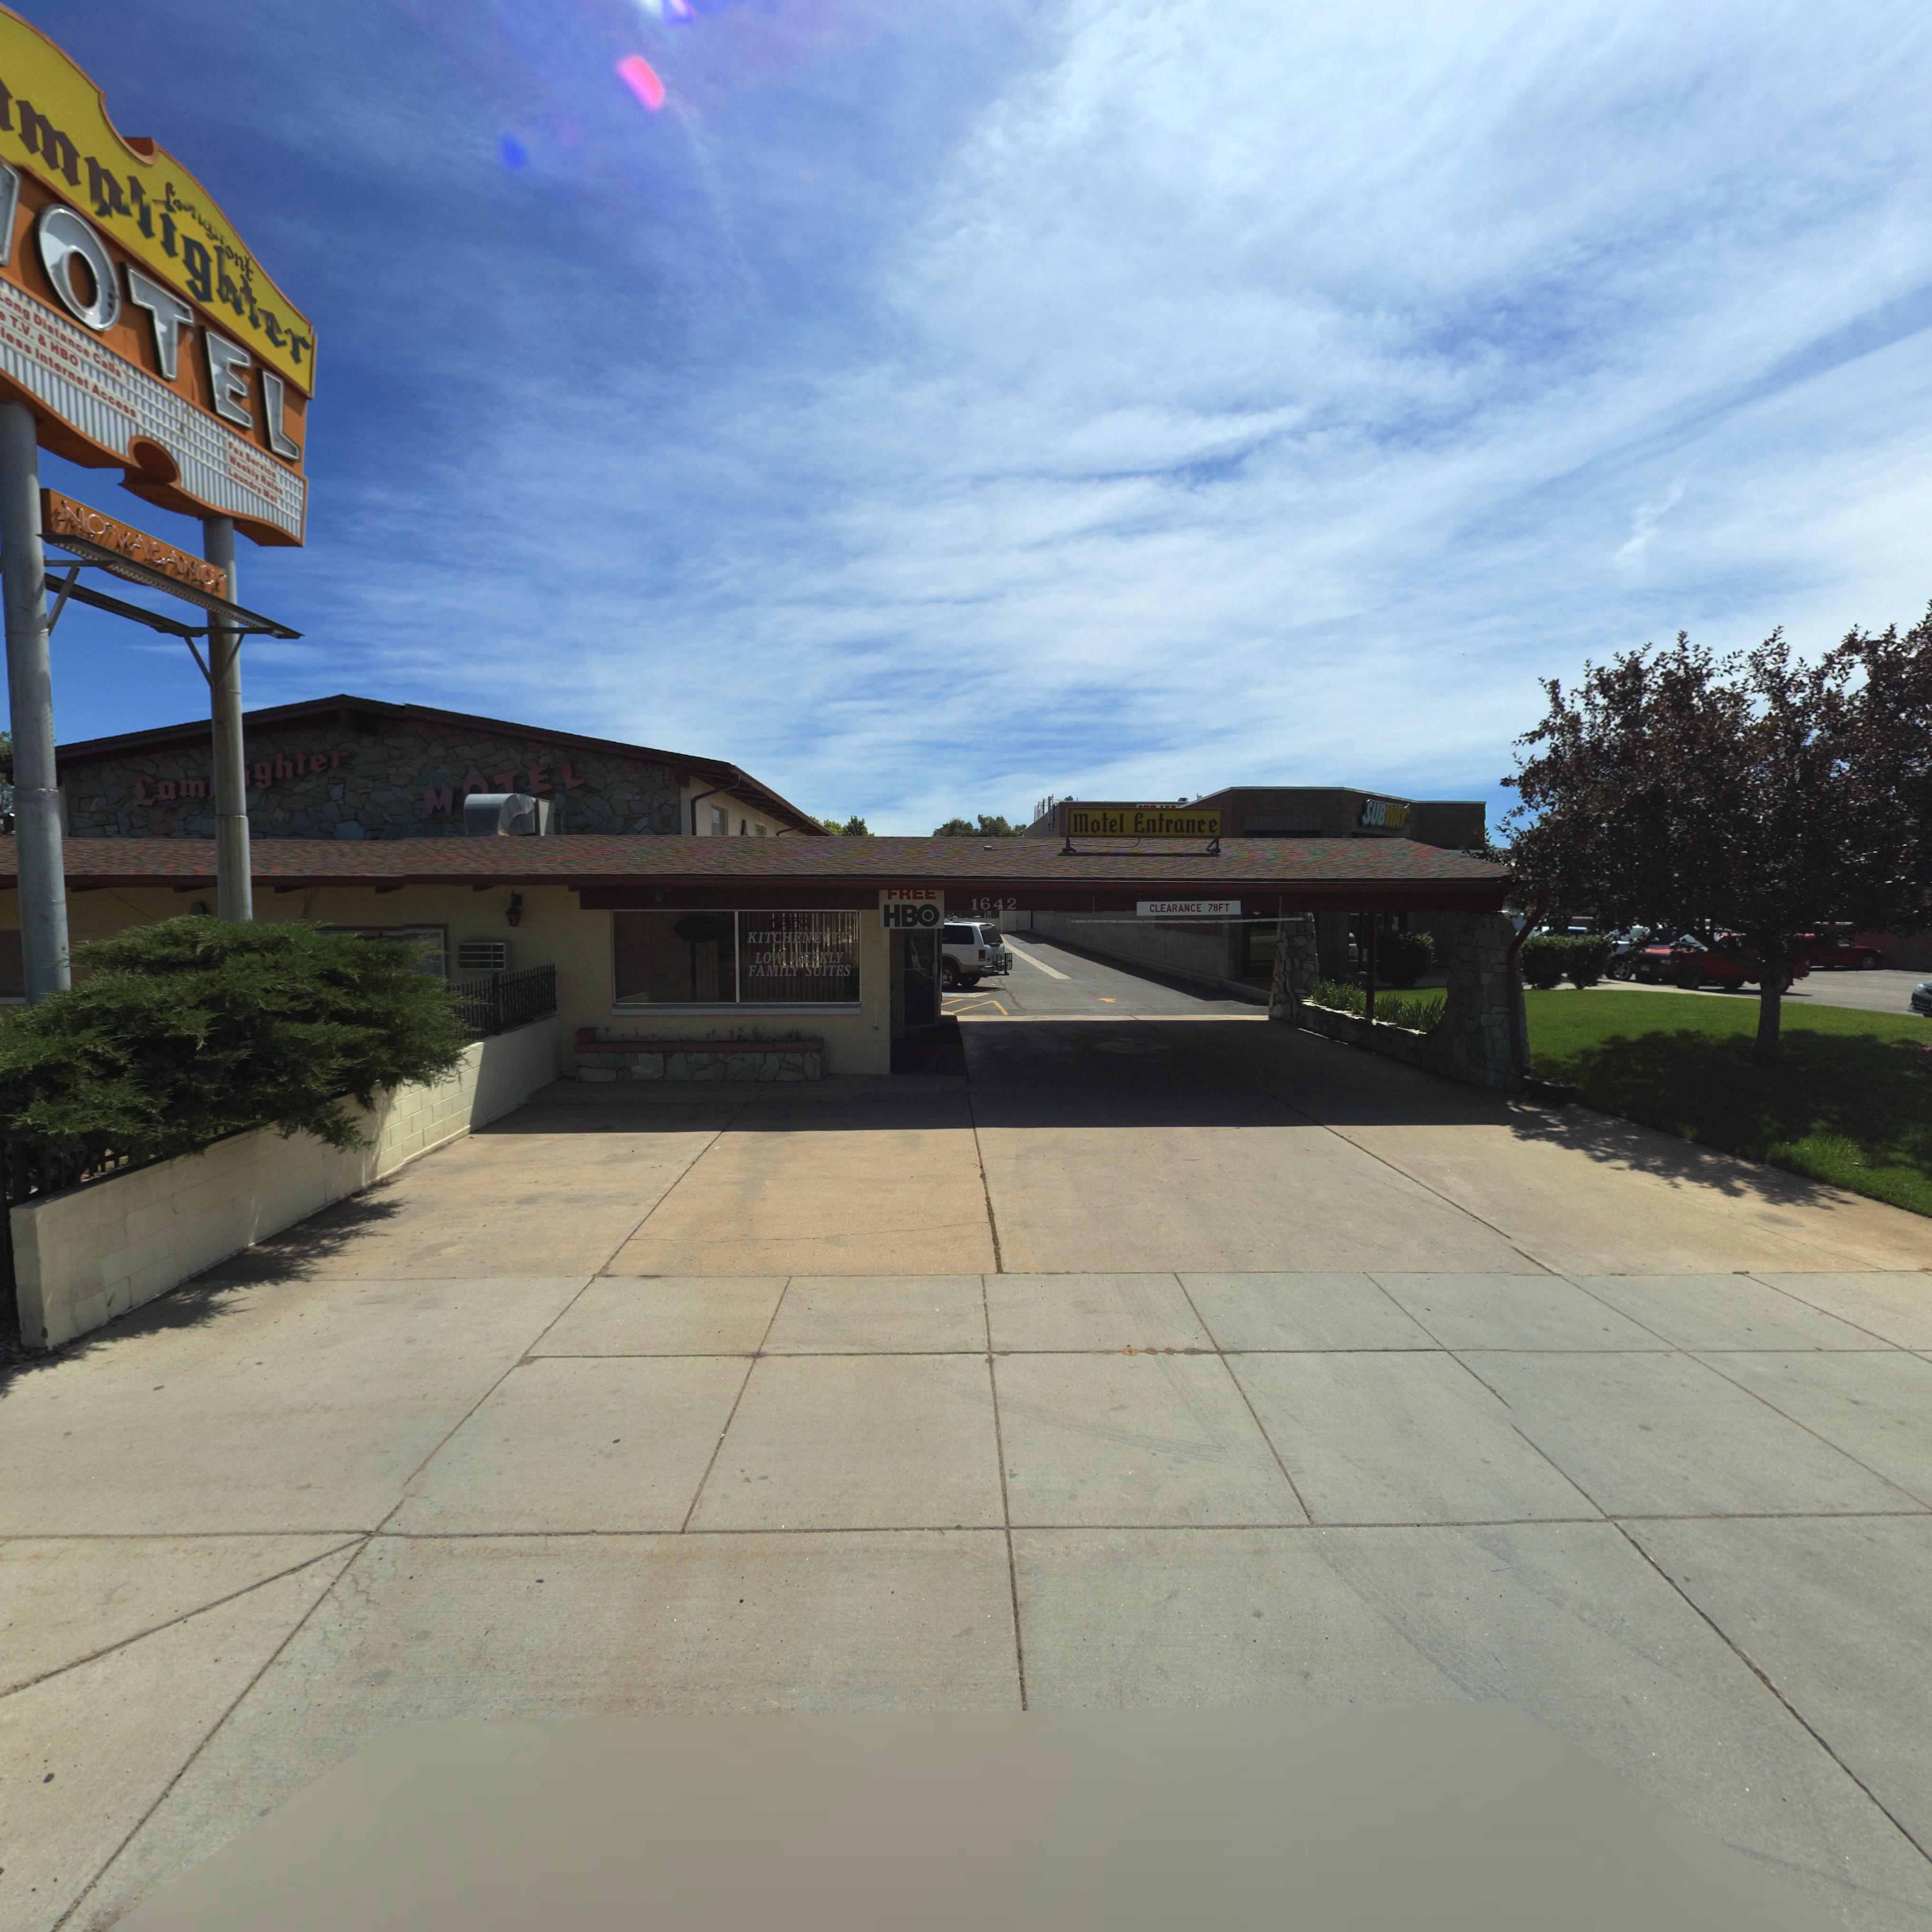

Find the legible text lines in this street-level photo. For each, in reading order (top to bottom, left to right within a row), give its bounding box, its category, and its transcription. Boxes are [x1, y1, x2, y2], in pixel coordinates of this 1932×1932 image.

[14, 96, 313, 367] BusinessName: m**ig***r
[160, 179, 255, 283] BusinessName: Lo***ont
[34, 200, 303, 464] BusinessName: OTEL
[134, 746, 352, 809] BusinessName: Lam**ighter
[420, 756, 589, 817] BusinessName: M*TEL
[1361, 799, 1412, 829] BusinessName: SUBWAY
[970, 896, 1017, 911] StreetNumber: 1642